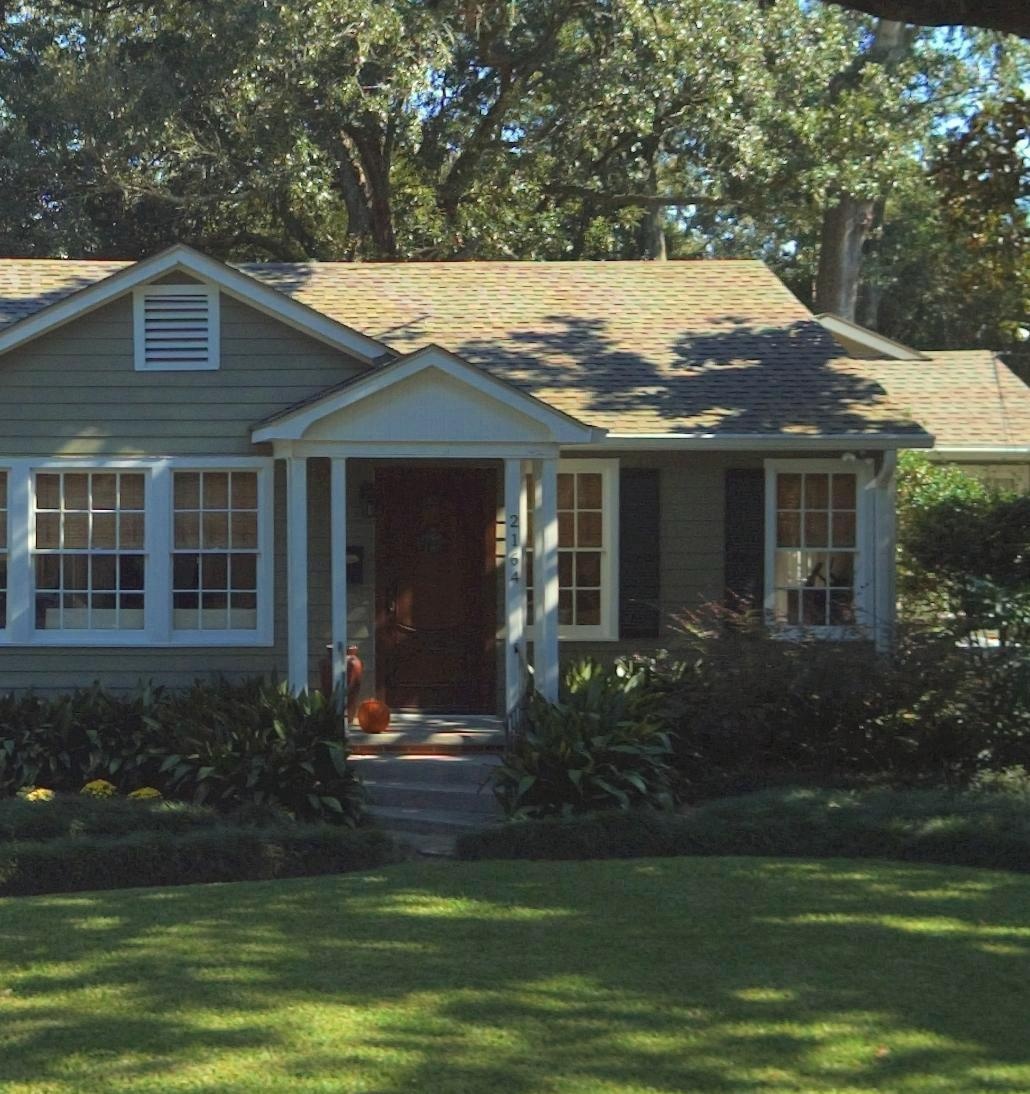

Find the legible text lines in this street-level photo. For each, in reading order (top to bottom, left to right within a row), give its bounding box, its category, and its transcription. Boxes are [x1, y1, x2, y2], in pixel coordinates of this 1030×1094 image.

[508, 513, 522, 586] StreetNumber: 2164